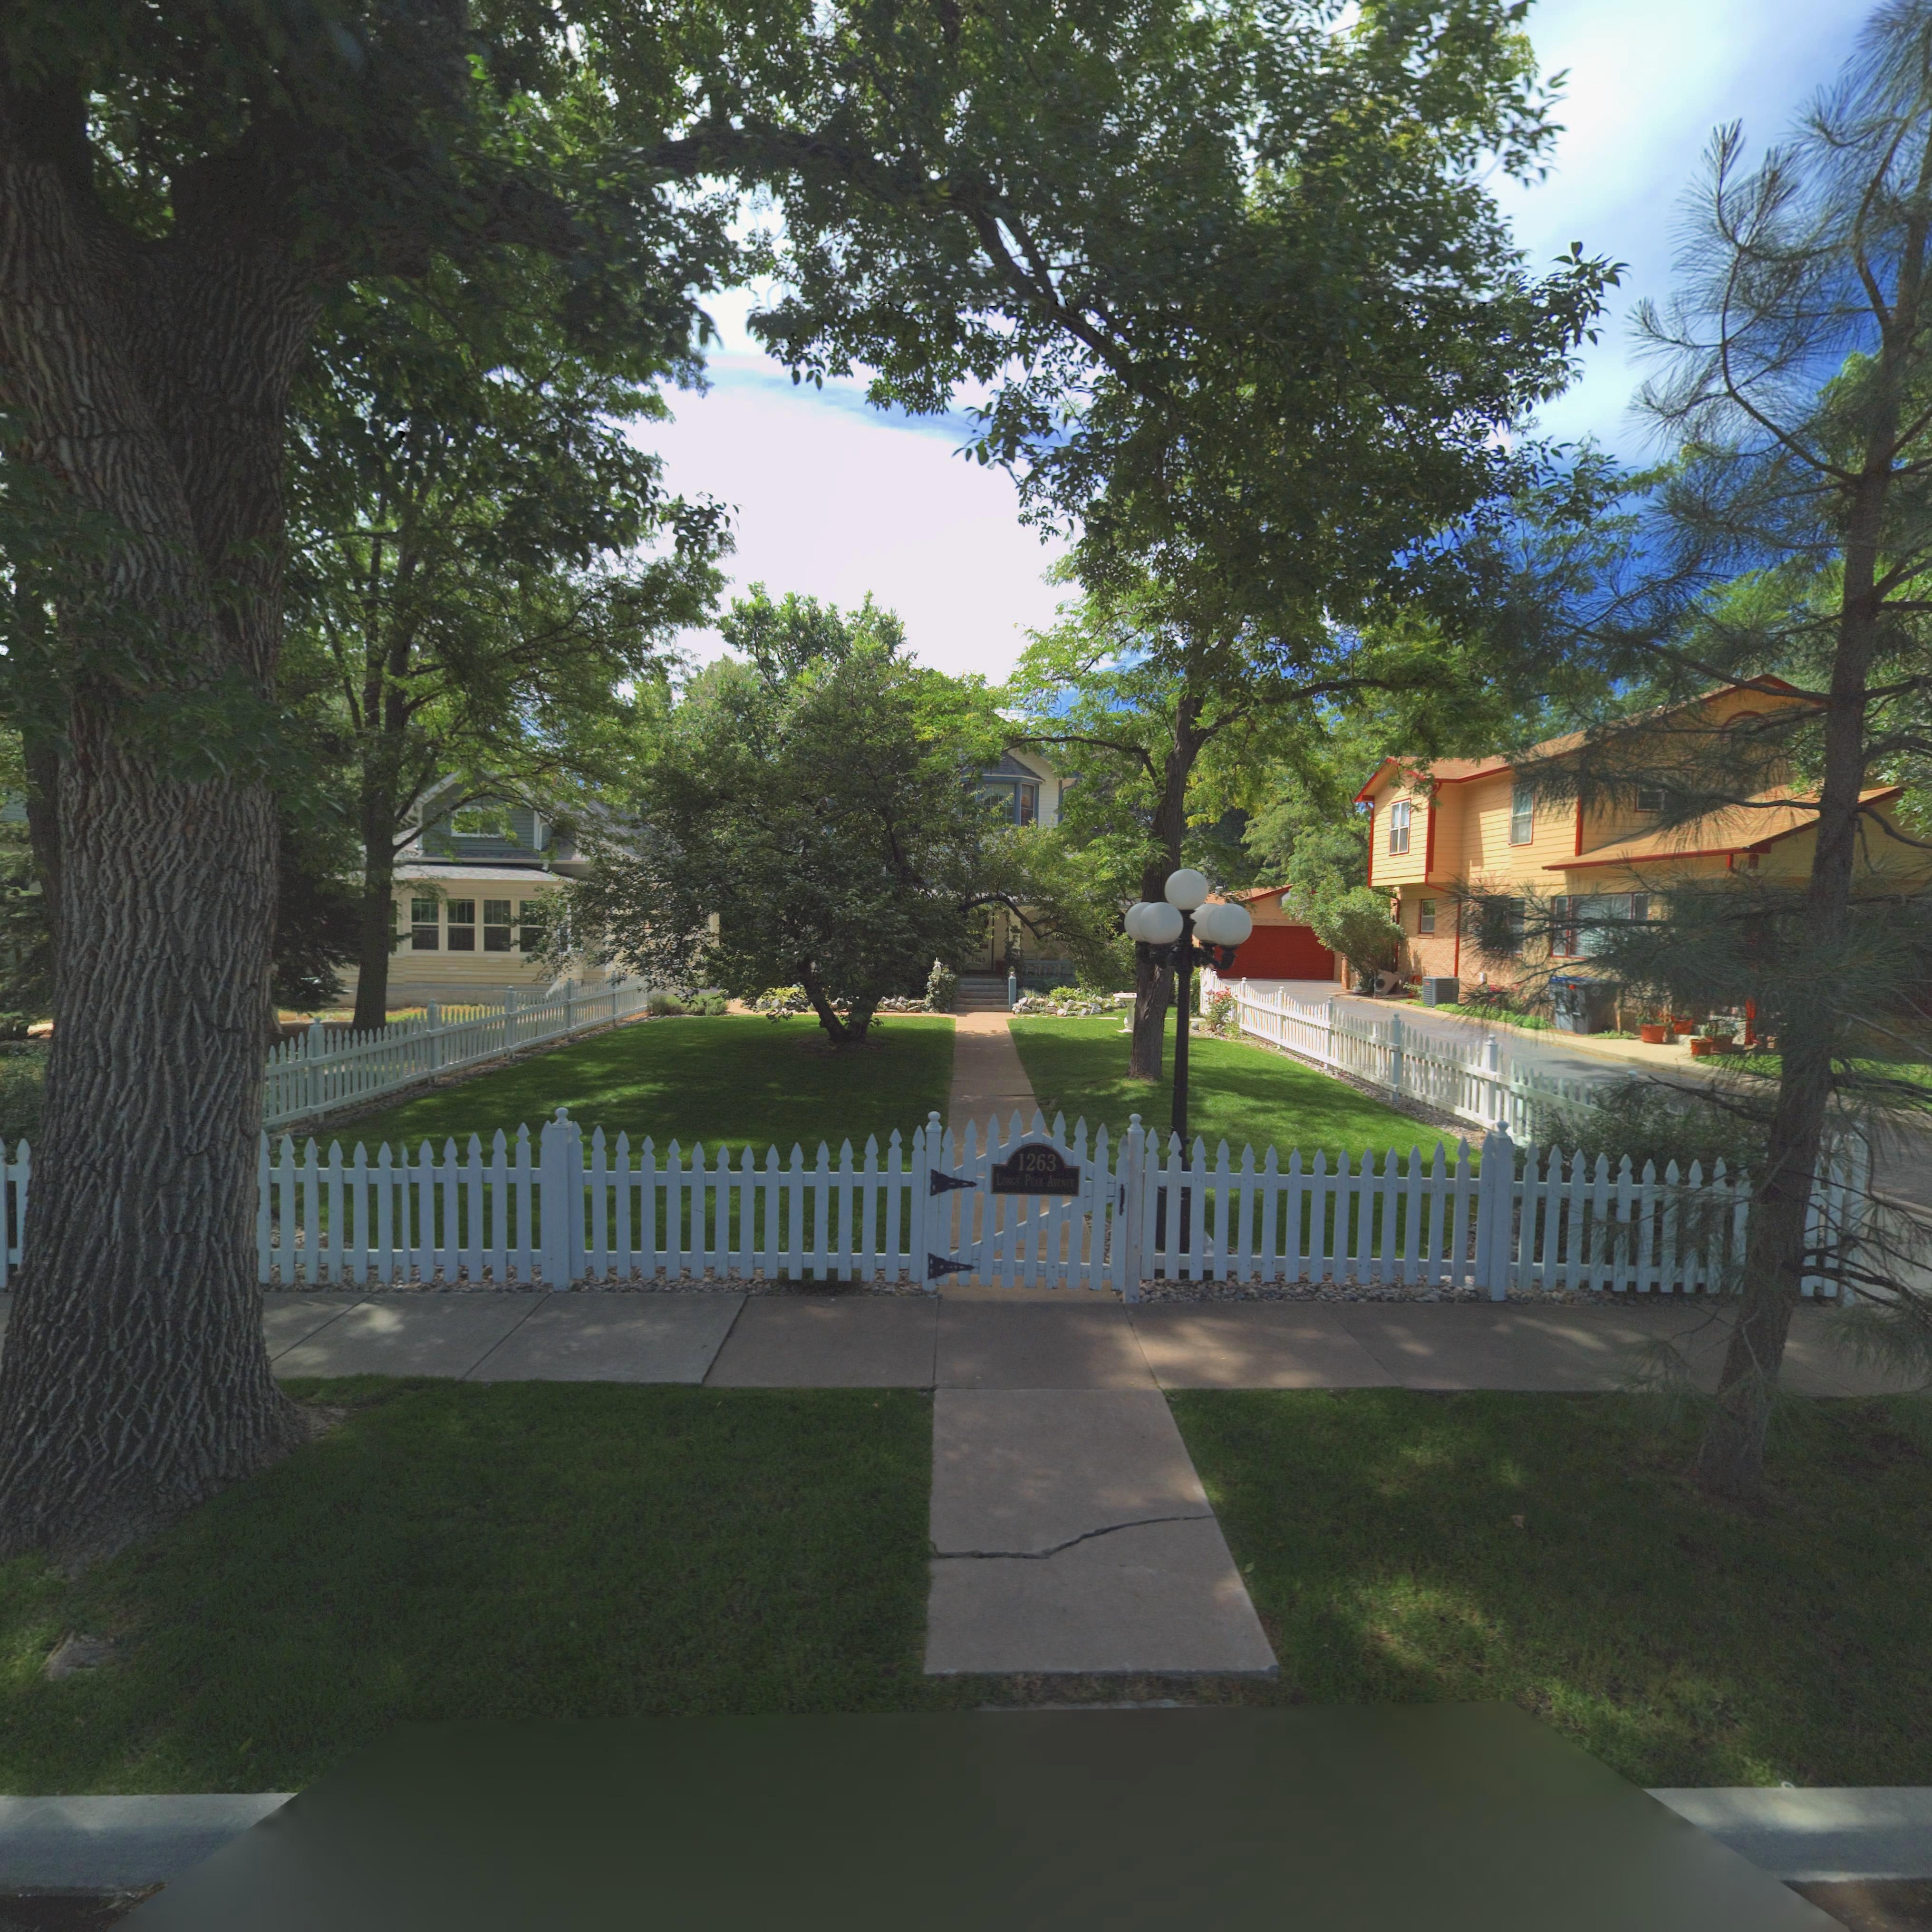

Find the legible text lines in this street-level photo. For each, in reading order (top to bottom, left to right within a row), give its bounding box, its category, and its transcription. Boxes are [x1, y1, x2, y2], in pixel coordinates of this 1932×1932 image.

[970, 956, 985, 962] StreetNumber: 1263
[1017, 1152, 1058, 1172] StreetNumber: 1263
[995, 1173, 1076, 1188] StreetName: LONGS PEAK AVENUE